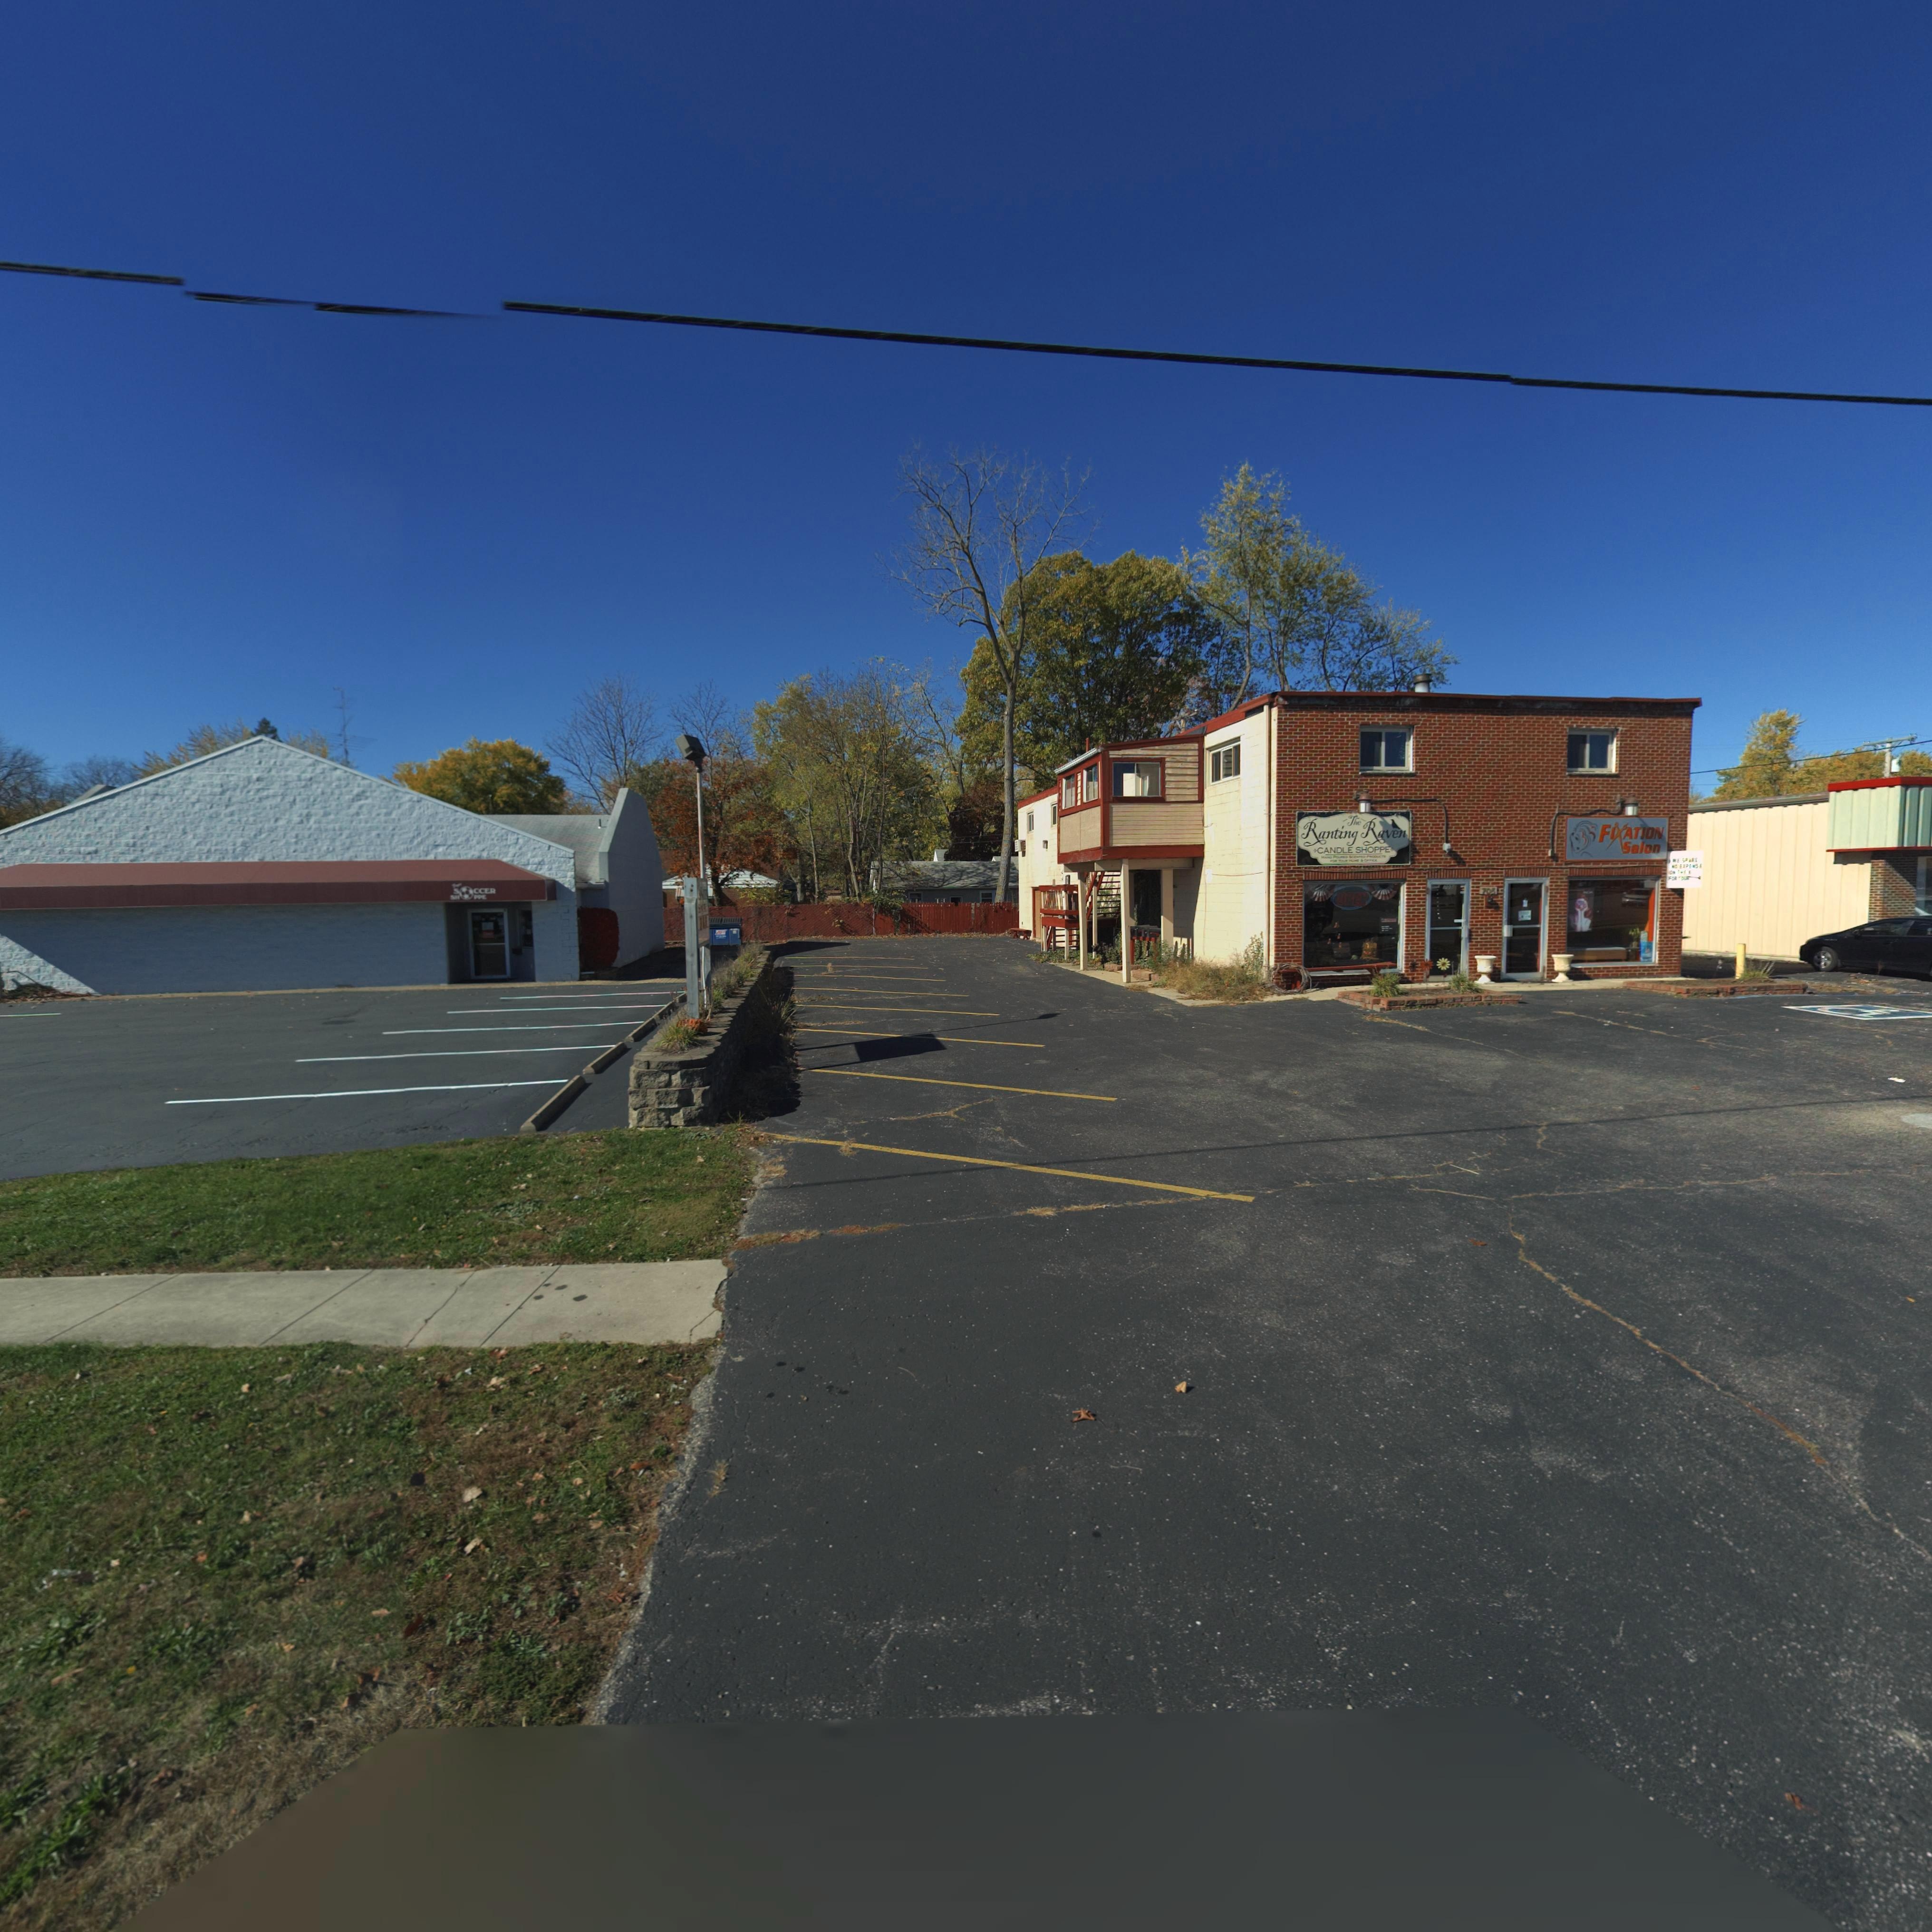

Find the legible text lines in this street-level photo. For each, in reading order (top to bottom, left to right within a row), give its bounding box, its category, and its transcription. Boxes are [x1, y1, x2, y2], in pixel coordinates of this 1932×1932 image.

[1346, 815, 1362, 827] BusinessName: The
[1300, 821, 1407, 847] BusinessName: Ranting Raven
[1597, 824, 1665, 843] BusinessName: FIXATION
[1316, 846, 1391, 854] BusinessName: CANDLE SHOPPE
[1621, 840, 1662, 855] BusinessName: Salon
[452, 888, 497, 895] BusinessName: S*CCER
[1443, 884, 1454, 889] StreetNumber: 70*
[1480, 887, 1497, 895] StreetNumber: 705
[449, 894, 488, 900] BusinessName: SH*PPE